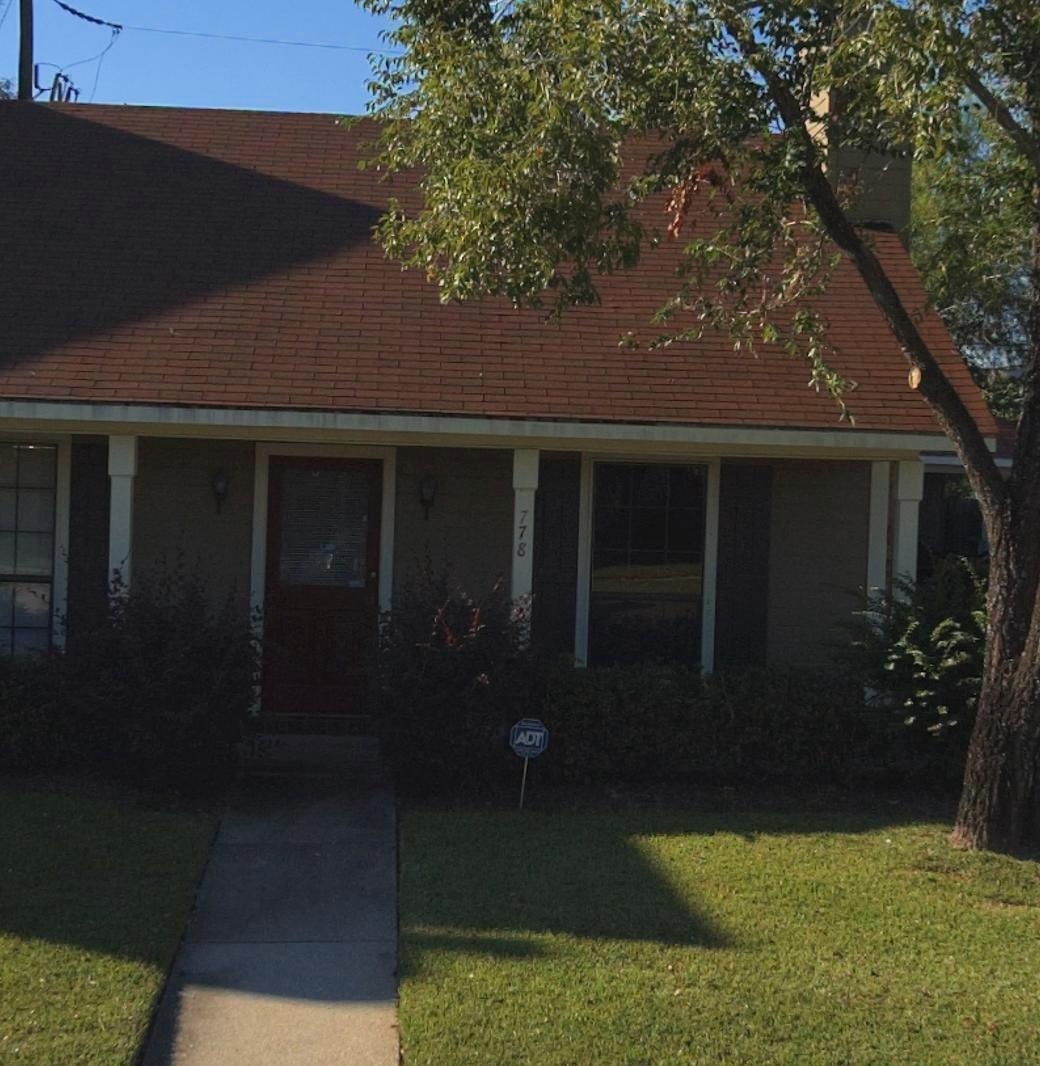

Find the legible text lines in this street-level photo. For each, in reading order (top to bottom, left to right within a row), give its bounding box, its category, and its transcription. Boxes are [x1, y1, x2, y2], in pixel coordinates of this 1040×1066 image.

[516, 509, 530, 558] StreetNumber: 778
[514, 730, 544, 747] None: ADT